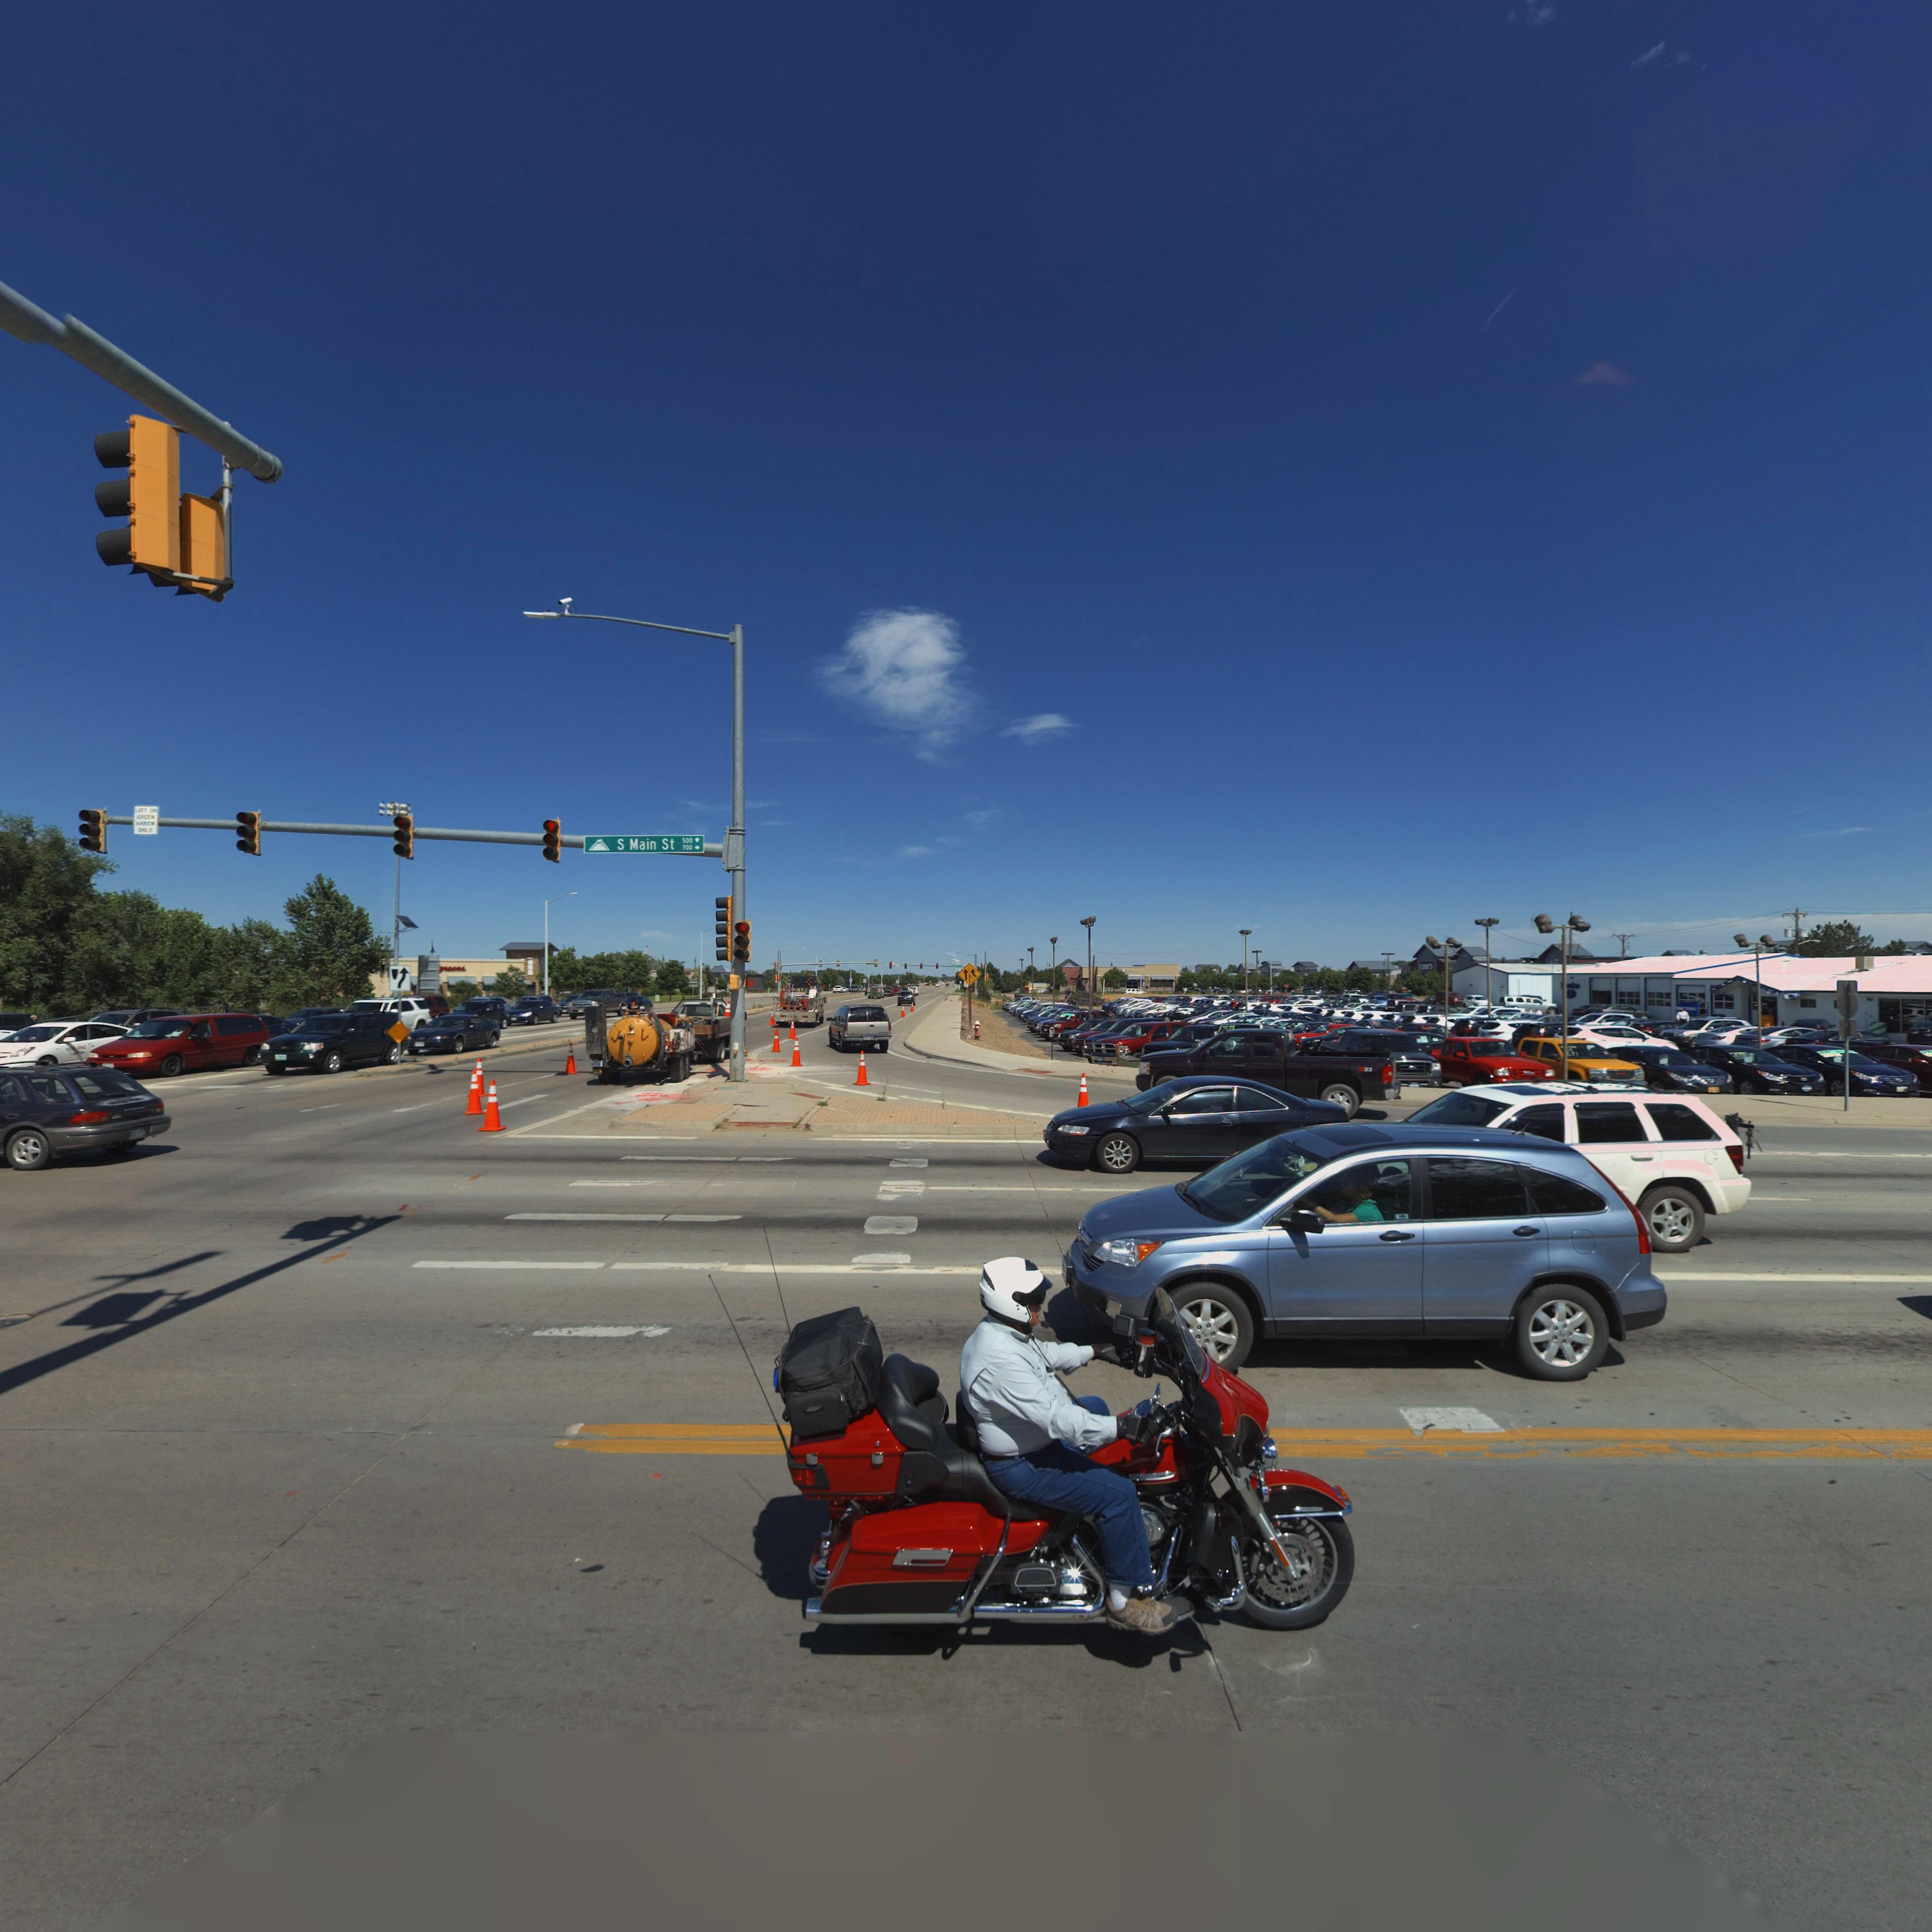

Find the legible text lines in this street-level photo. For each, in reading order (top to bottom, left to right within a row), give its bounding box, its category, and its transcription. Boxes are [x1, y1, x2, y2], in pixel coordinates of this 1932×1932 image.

[617, 838, 675, 850] StreetName: S Main St
[682, 837, 692, 844] StreetNumberRange: 500
[682, 844, 700, 850] StreetNumberRange: 700 ->
[1420, 962, 1433, 970] BusinessName: LOWE'S